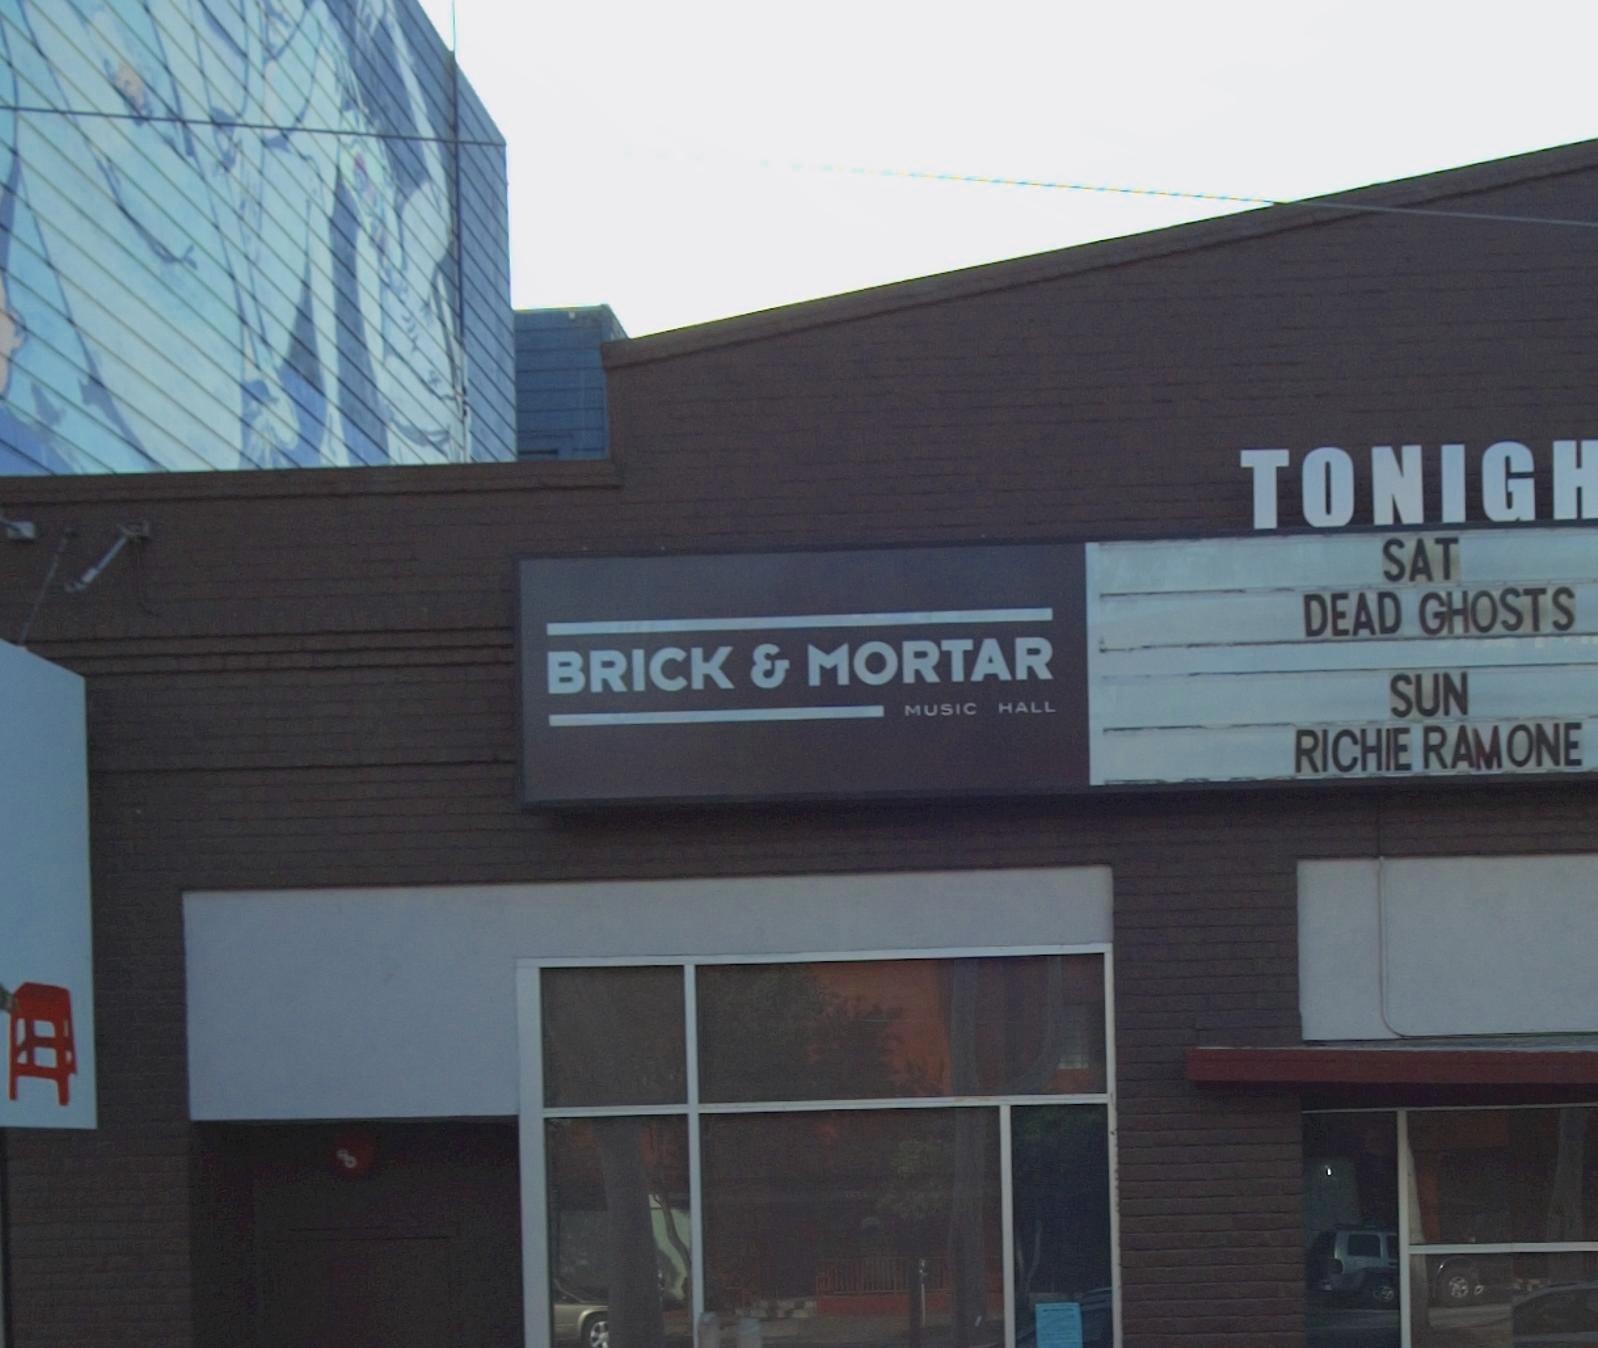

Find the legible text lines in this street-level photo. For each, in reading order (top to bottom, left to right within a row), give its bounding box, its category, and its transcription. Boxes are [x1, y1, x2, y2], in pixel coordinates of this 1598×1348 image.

[1232, 434, 1548, 538] None: TONIG
[1378, 532, 1464, 586] None: SAT
[1297, 581, 1582, 645] None: DEAD GHOSTS
[540, 631, 1058, 700] BusinessName: BRICK & MORTAR
[902, 698, 1060, 719] BusinessName: MUSIC HALL
[1386, 666, 1473, 722] None: SUN
[1291, 718, 1588, 777] None: RICHIE RAMONE